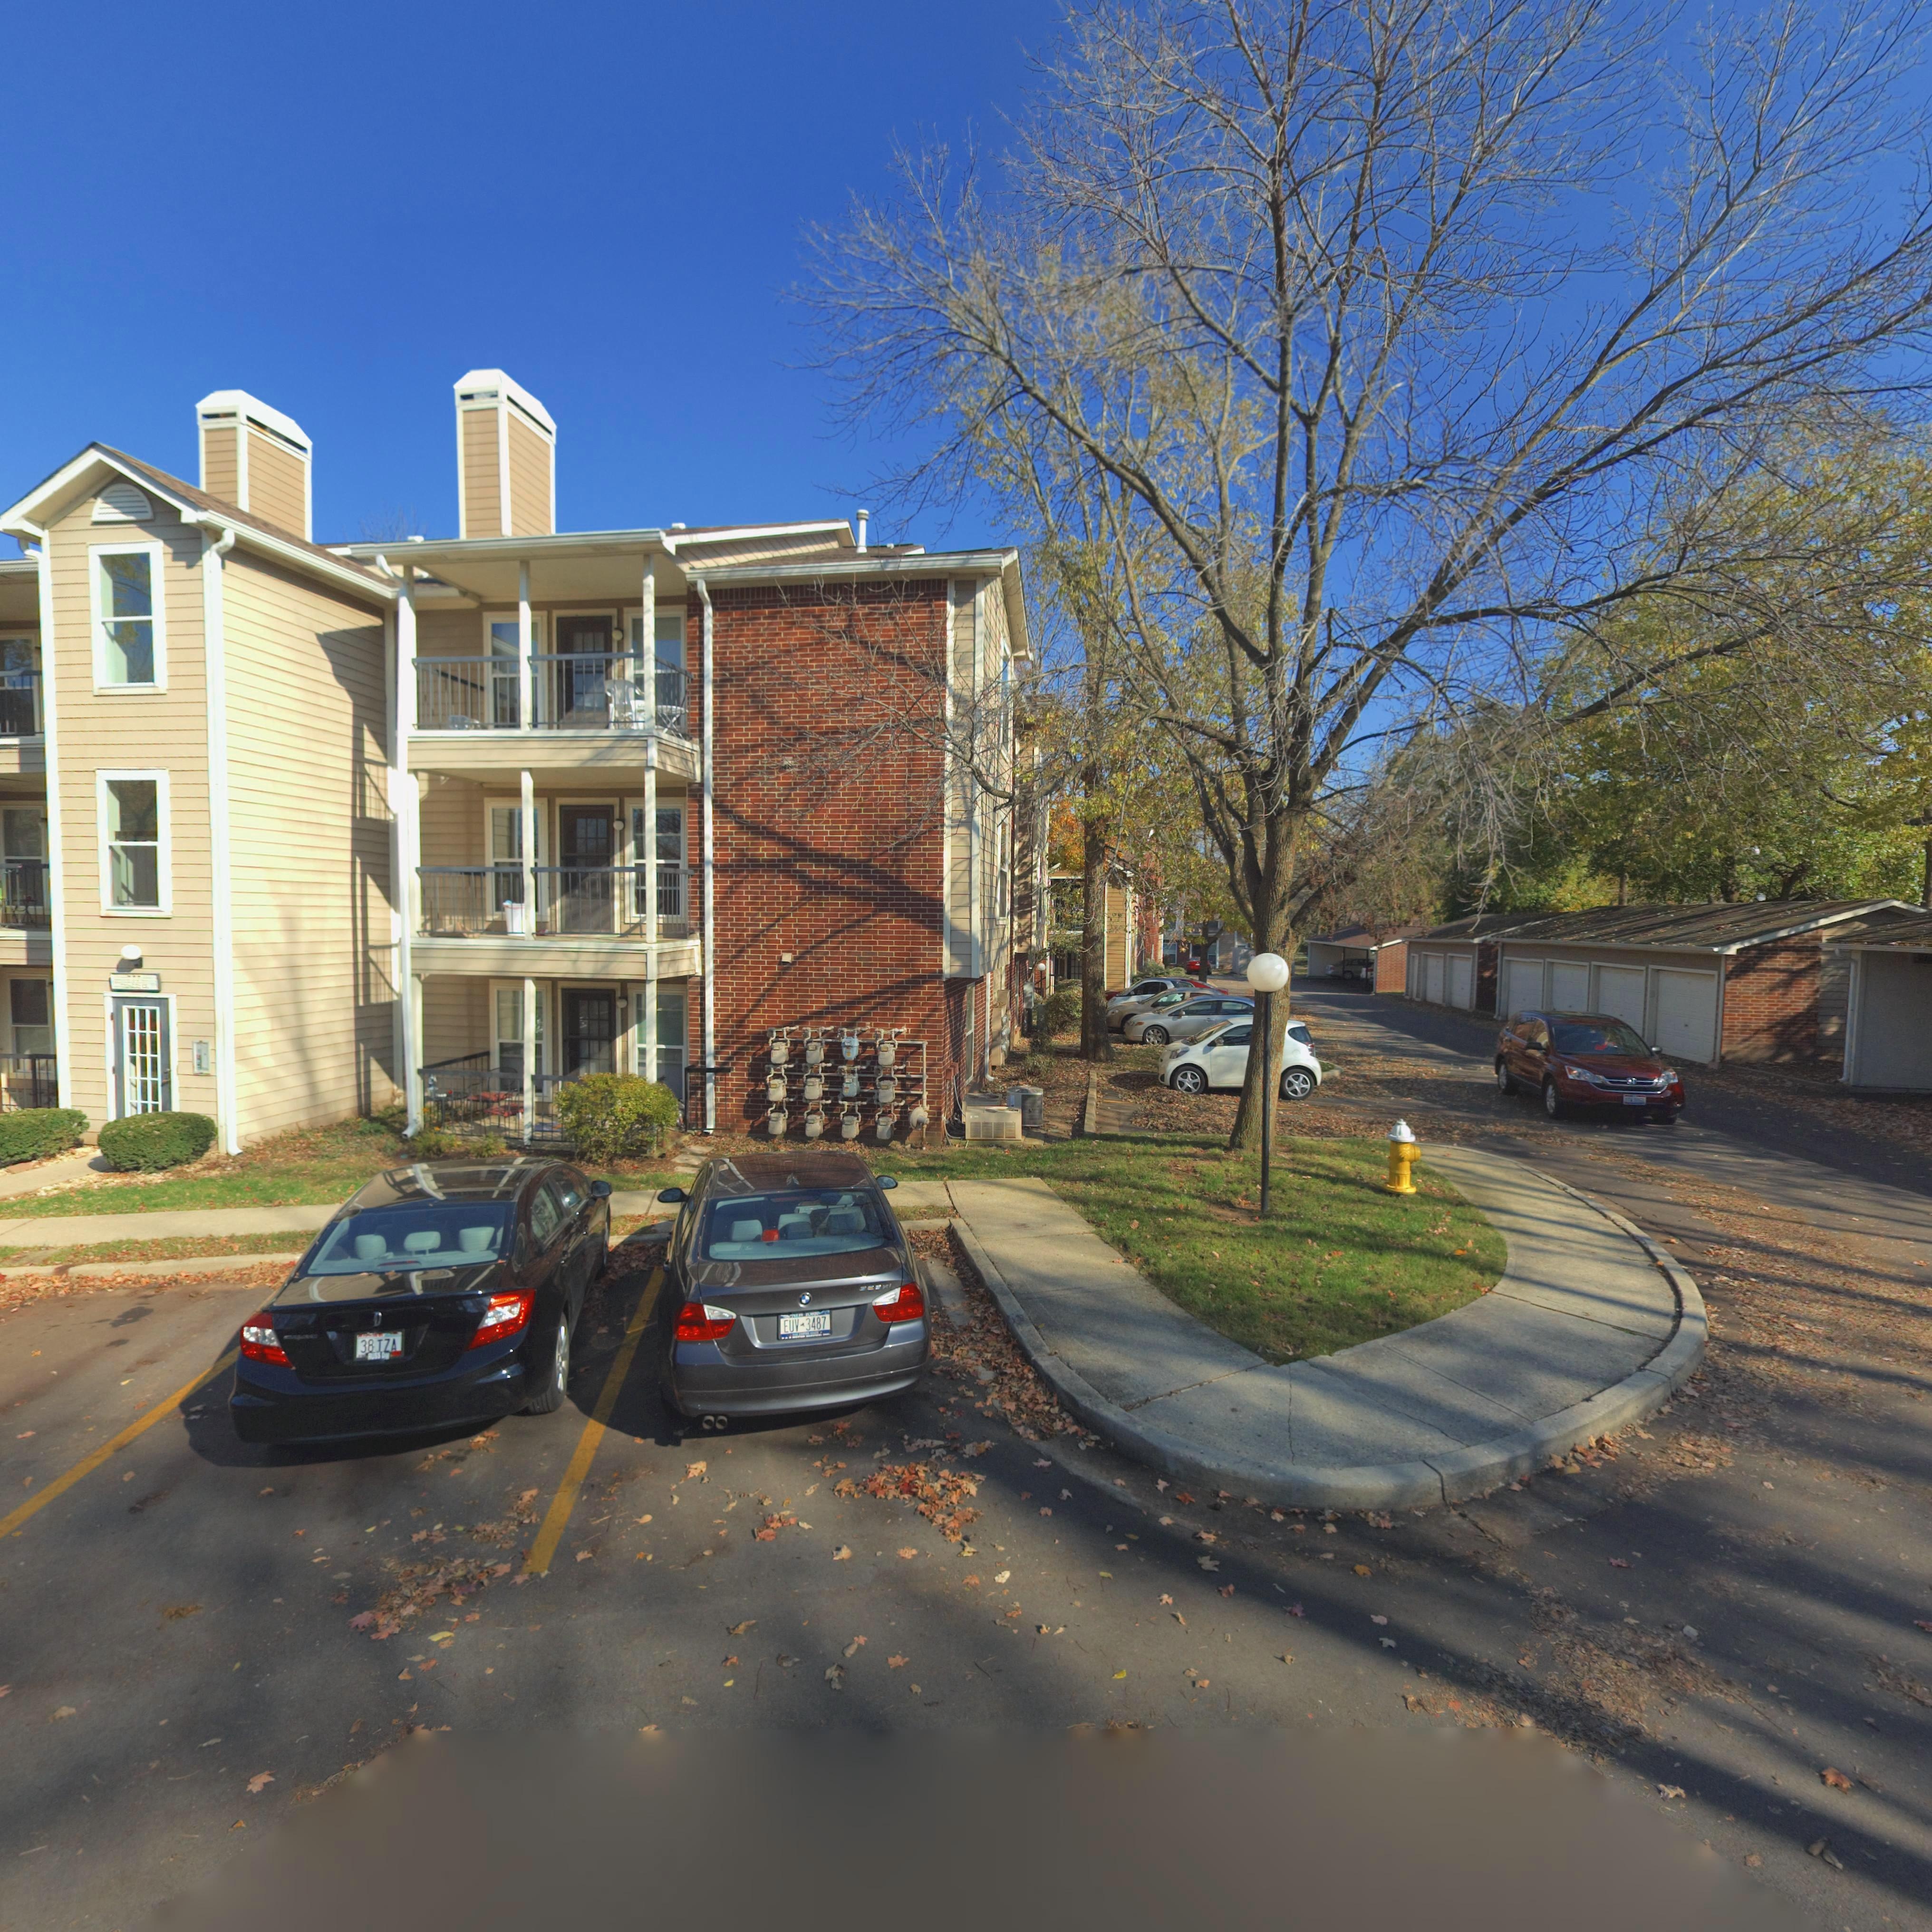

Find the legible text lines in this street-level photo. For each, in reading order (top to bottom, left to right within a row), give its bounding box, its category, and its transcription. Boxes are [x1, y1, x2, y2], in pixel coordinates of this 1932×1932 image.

[782, 1315, 827, 1334] None: EUV-3487
[360, 1337, 398, 1355] None: 38 TZA